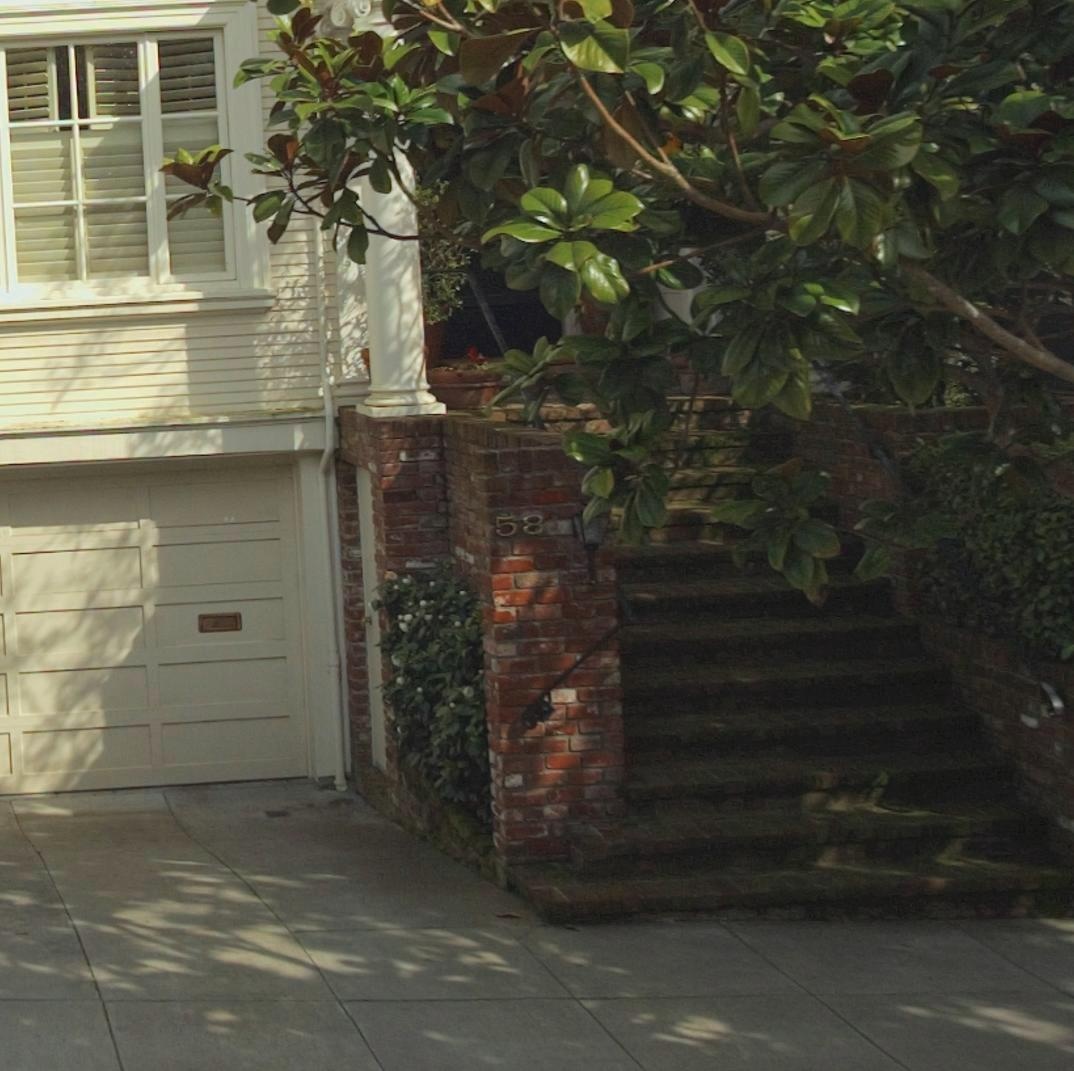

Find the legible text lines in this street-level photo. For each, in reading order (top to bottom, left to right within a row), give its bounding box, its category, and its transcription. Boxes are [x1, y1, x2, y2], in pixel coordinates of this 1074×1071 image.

[494, 513, 546, 538] StreetNumber: 58